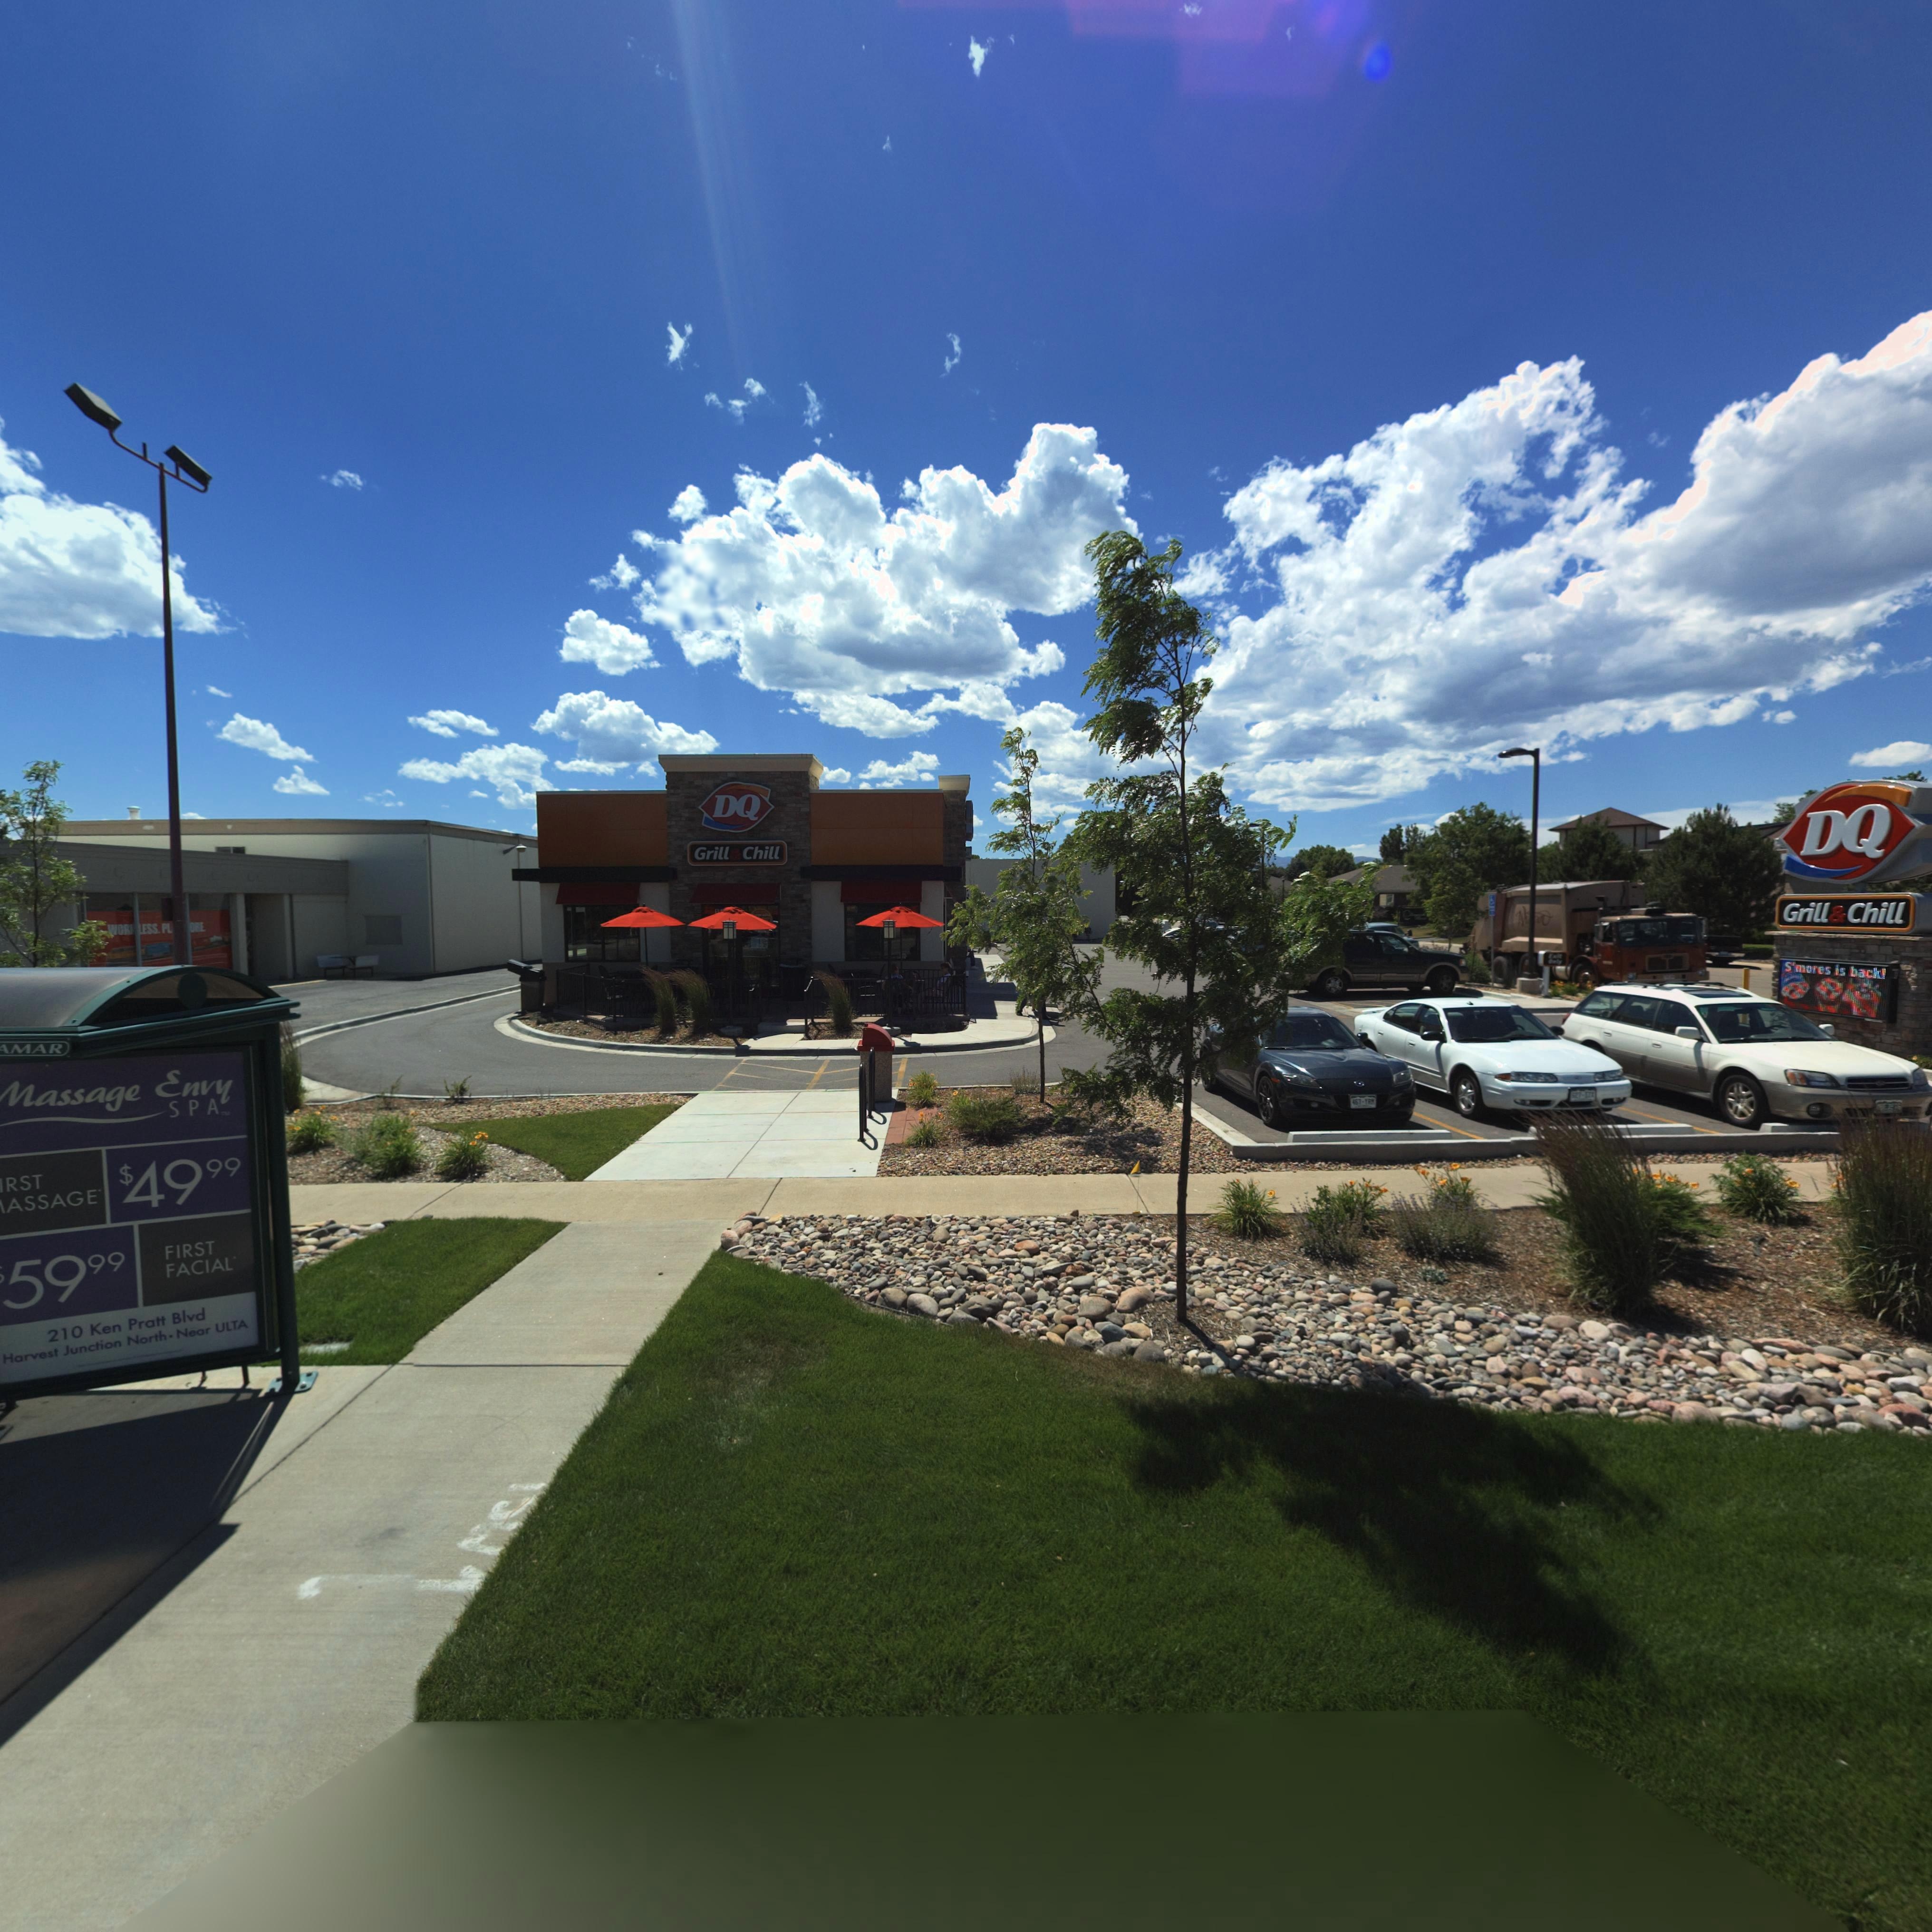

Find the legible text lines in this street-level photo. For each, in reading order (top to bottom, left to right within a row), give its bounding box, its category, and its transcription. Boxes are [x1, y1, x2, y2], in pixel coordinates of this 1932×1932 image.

[712, 793, 761, 821] BusinessName: DQ
[1799, 802, 1893, 859] BusinessName: DQ